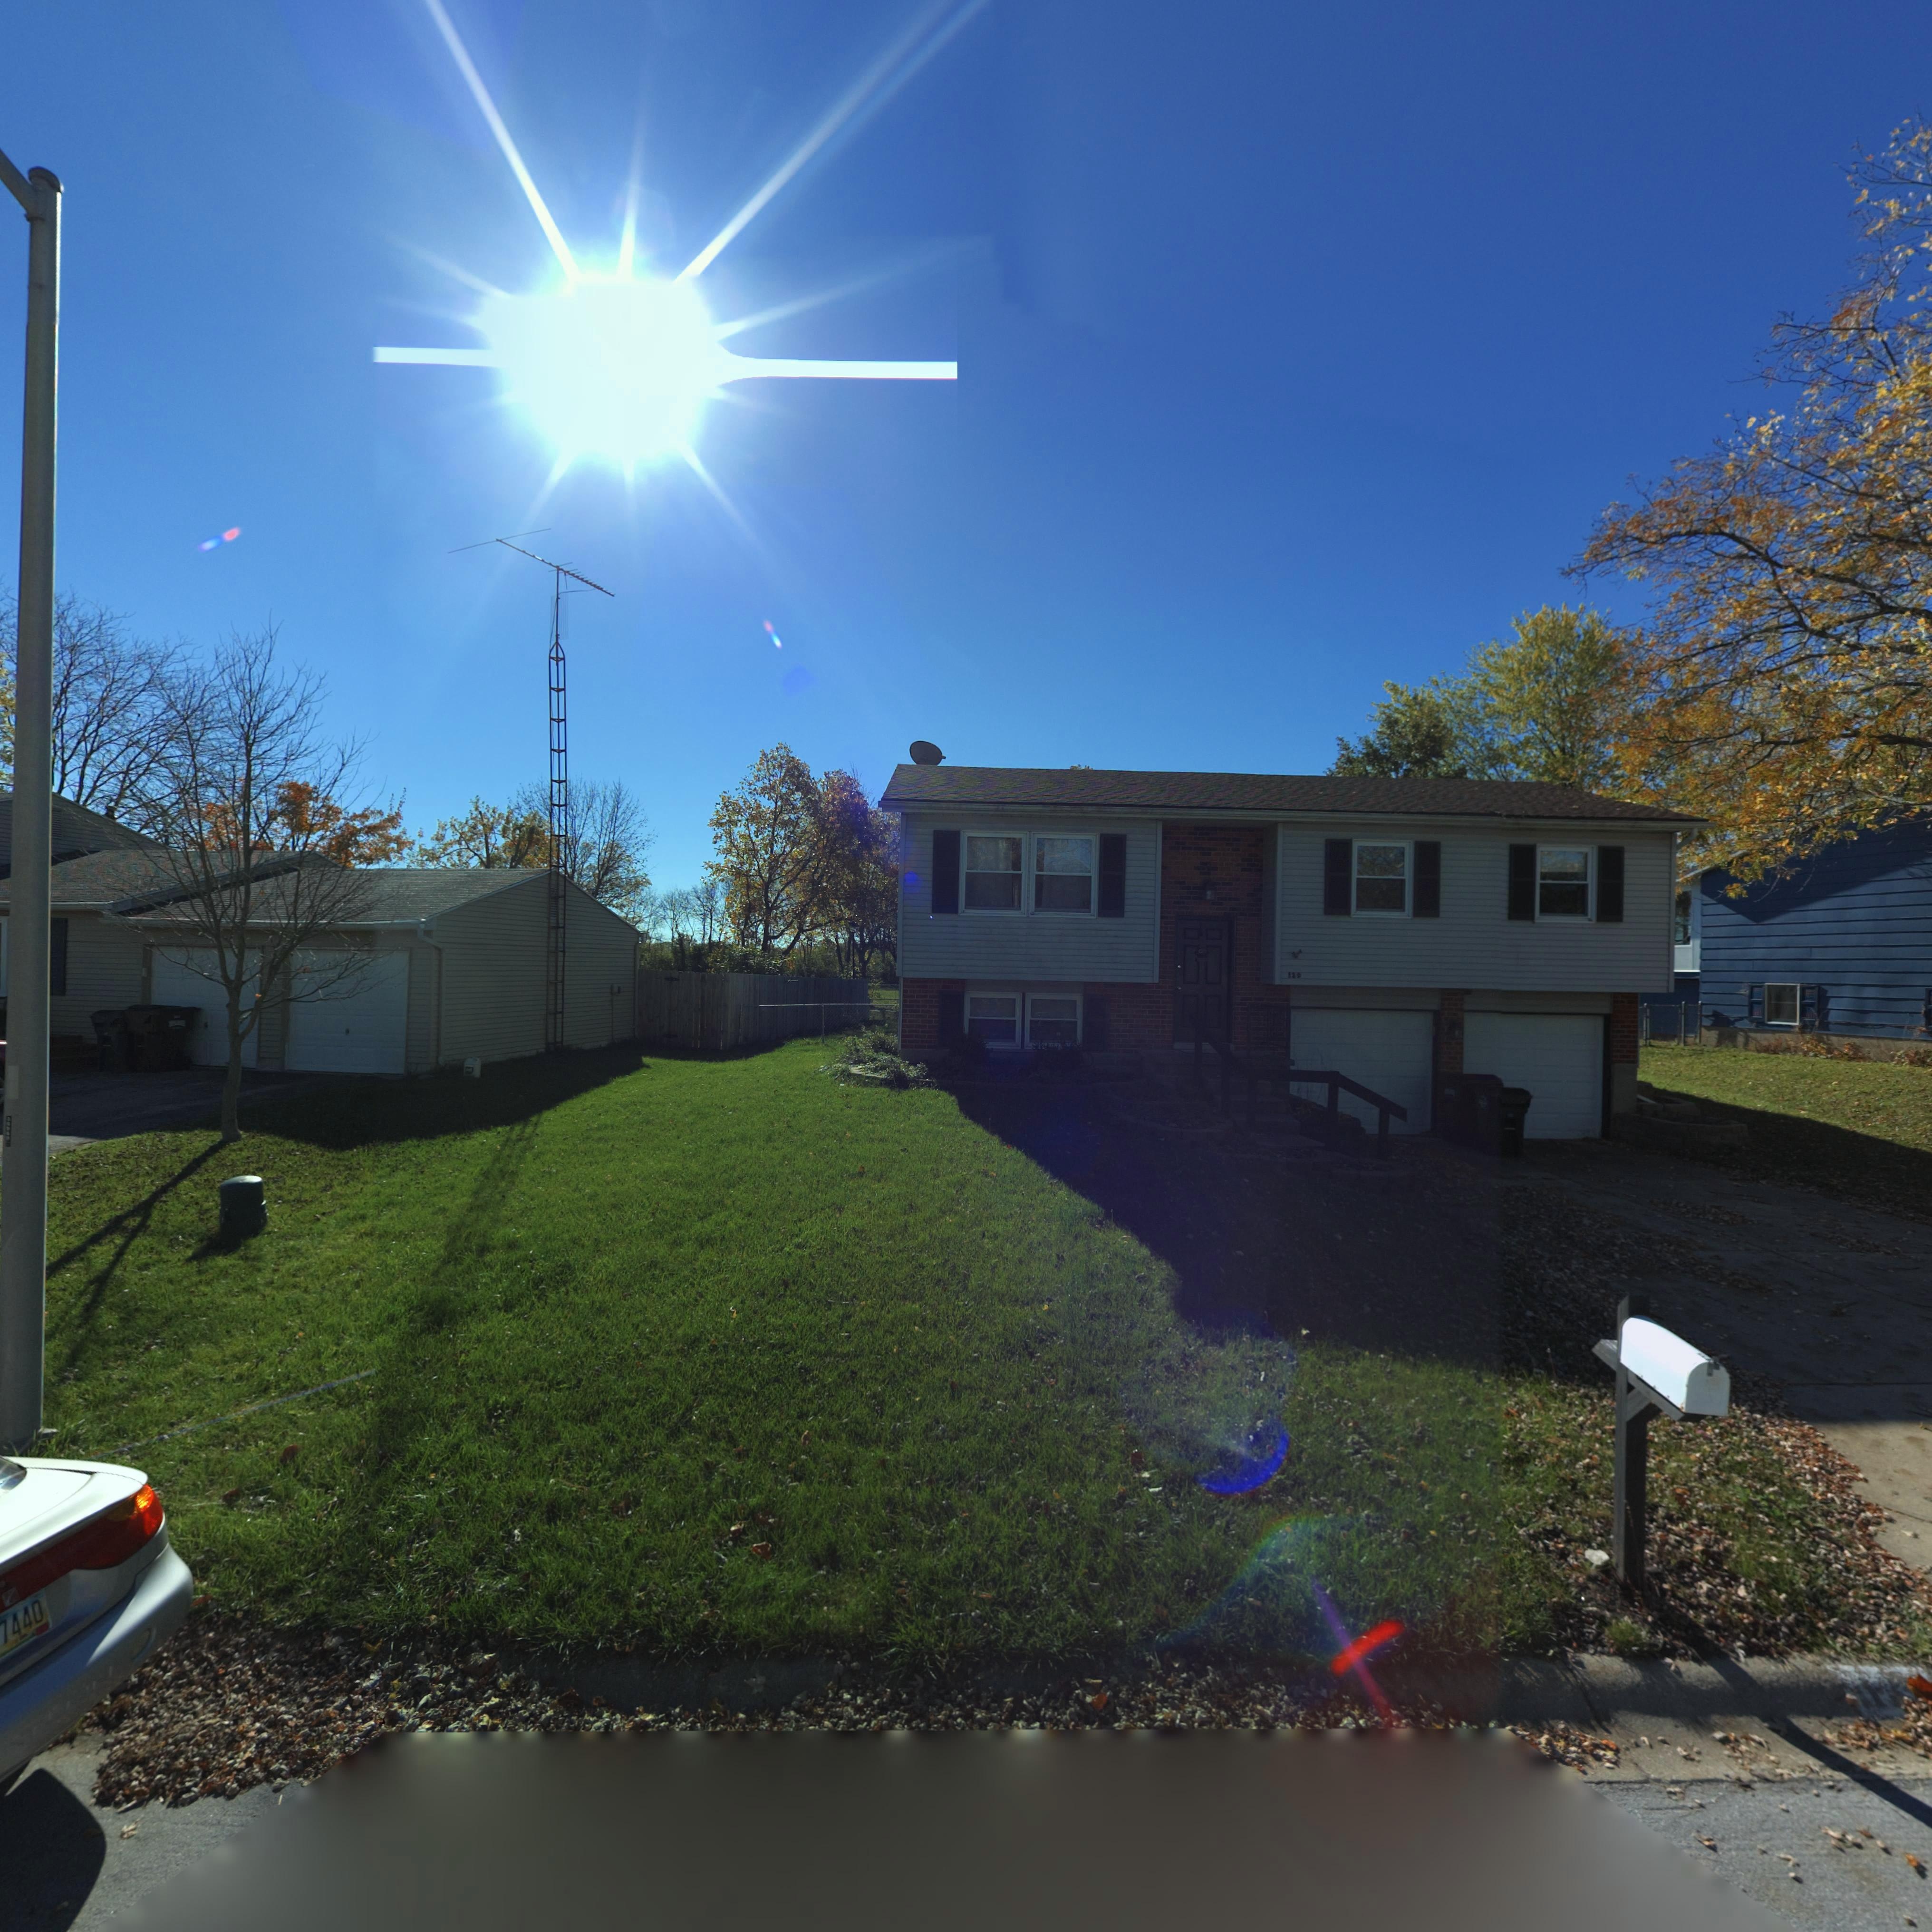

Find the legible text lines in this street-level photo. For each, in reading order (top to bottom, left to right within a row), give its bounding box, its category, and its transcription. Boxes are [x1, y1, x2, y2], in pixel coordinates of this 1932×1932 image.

[1287, 971, 1302, 980] StreetNumber: 1*9